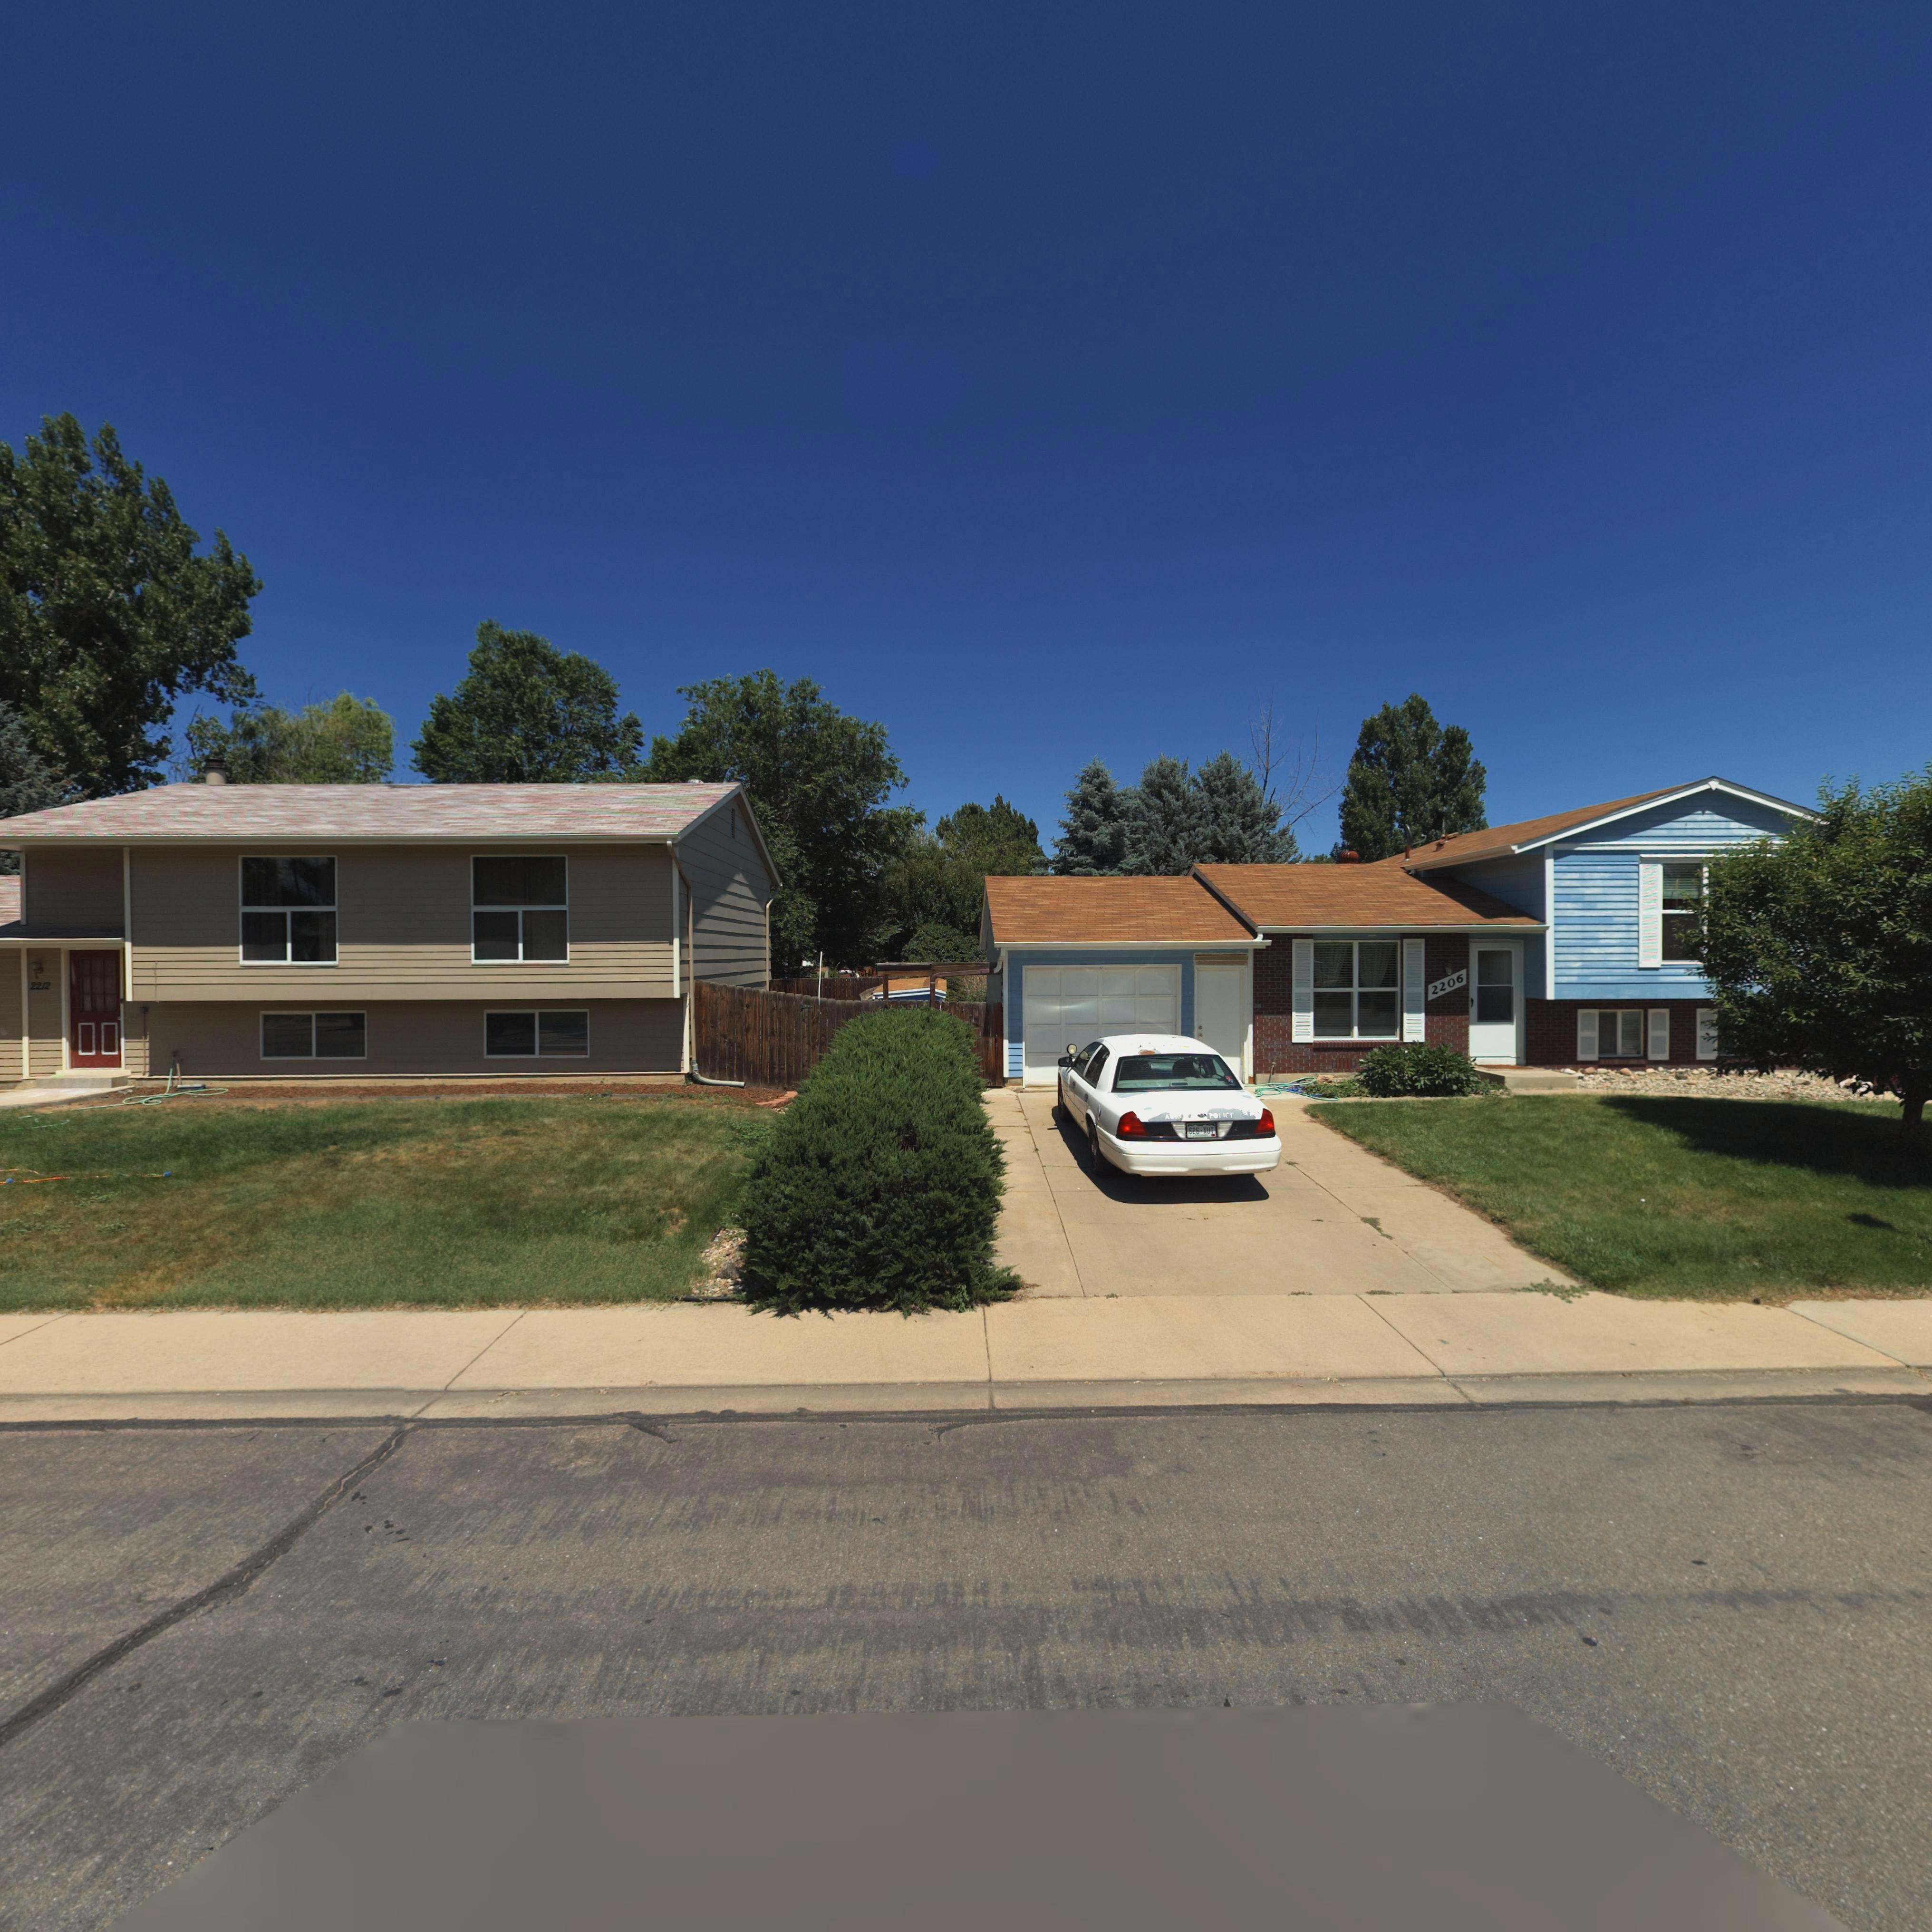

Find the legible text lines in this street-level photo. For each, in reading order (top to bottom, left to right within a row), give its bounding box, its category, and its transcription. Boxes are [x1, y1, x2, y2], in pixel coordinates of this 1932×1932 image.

[29, 982, 51, 990] StreetNumber: 2212
[1431, 973, 1465, 995] StreetNumber: 2206